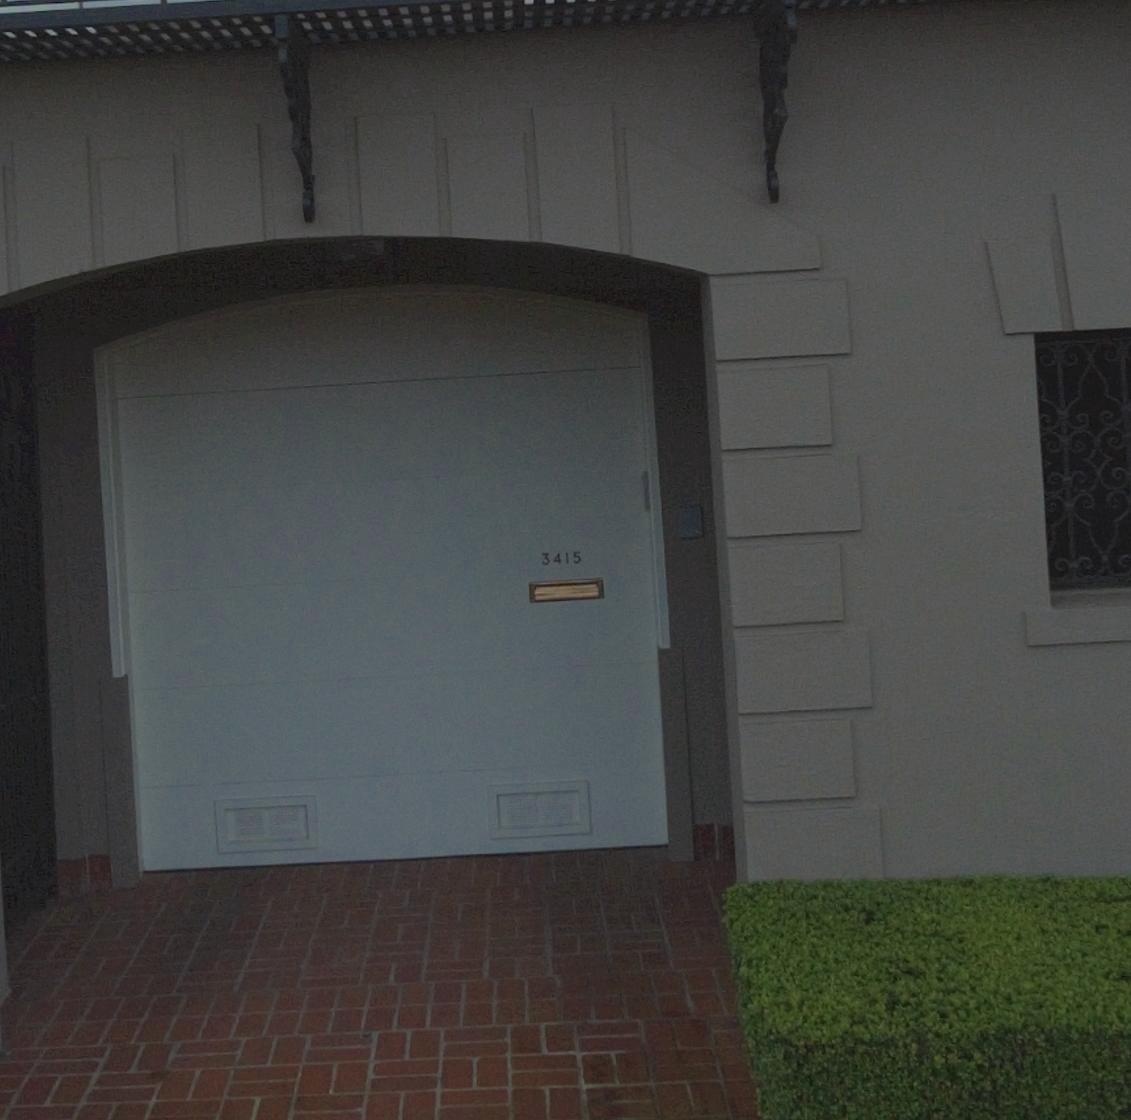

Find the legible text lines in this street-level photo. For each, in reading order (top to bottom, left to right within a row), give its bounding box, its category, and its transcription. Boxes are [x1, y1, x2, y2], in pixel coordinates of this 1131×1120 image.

[540, 549, 583, 567] StreetNumber: 3415